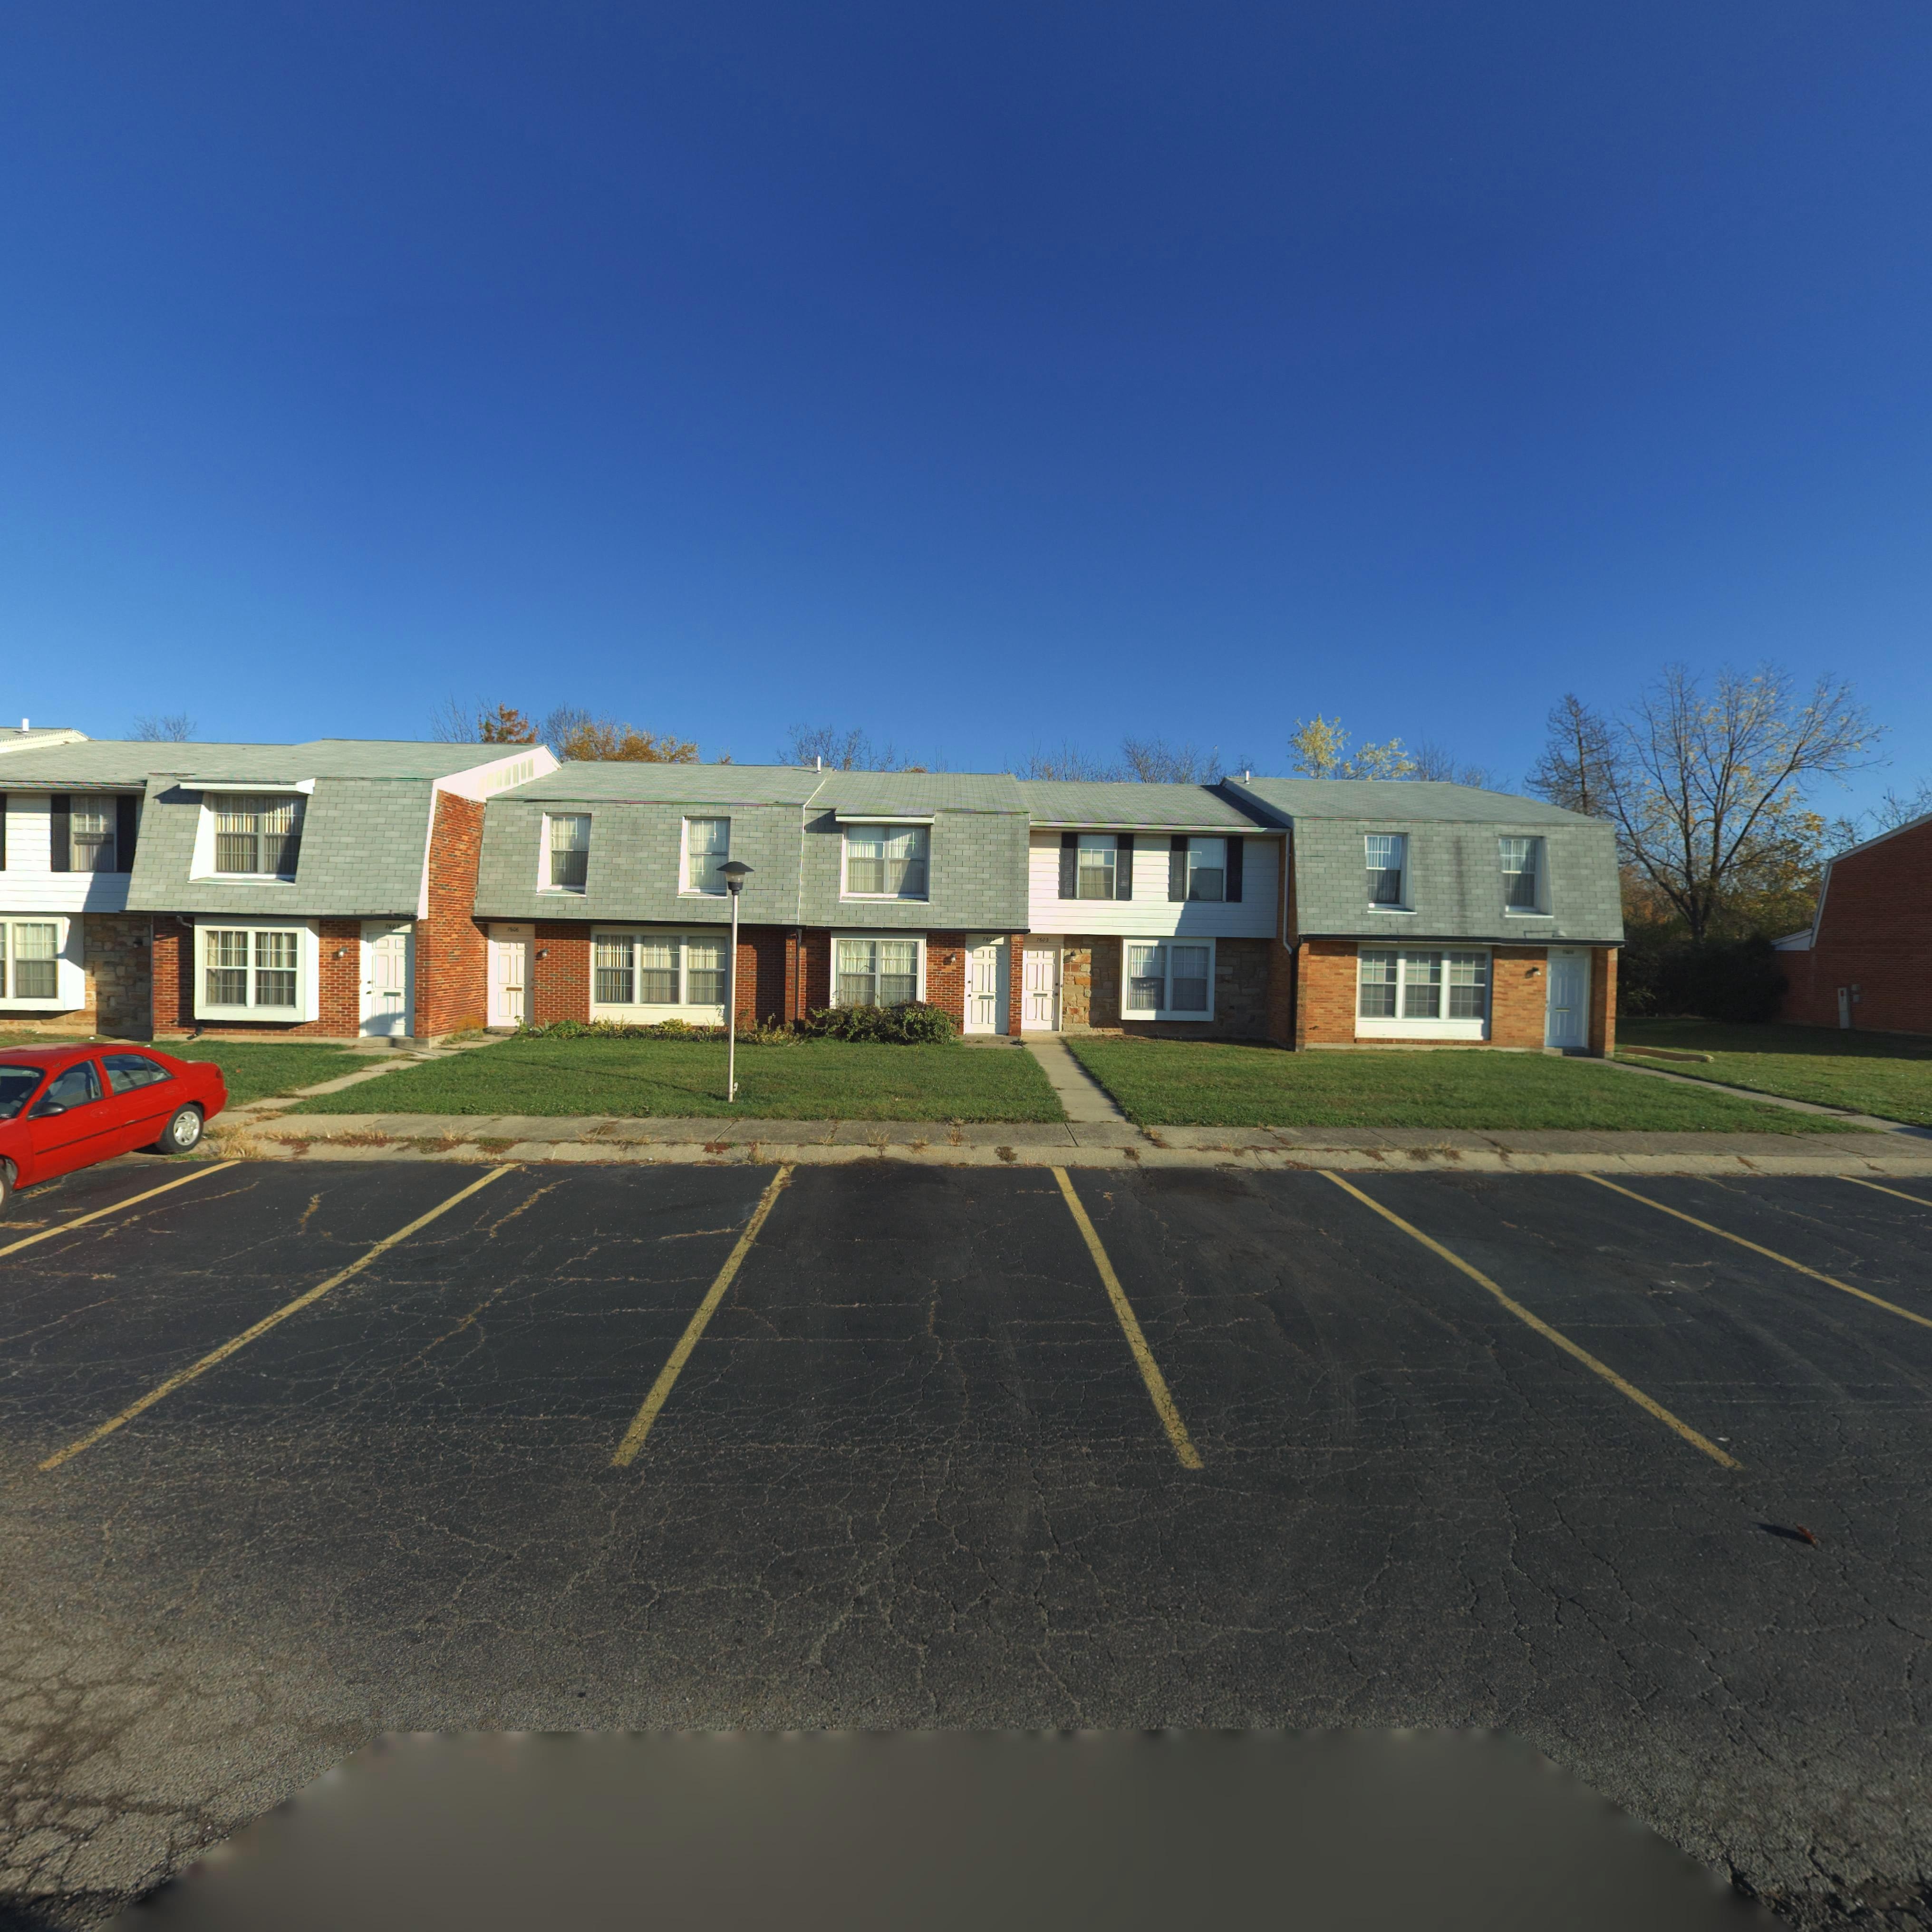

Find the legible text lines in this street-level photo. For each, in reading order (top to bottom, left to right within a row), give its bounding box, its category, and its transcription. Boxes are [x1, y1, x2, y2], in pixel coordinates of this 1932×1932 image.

[384, 923, 402, 930] StreetNumber: 760*
[506, 926, 521, 933] StreetNumber: 7*06
[982, 937, 996, 943] StreetNumber: 760*
[1035, 937, 1050, 944] StreetNumber: 760*